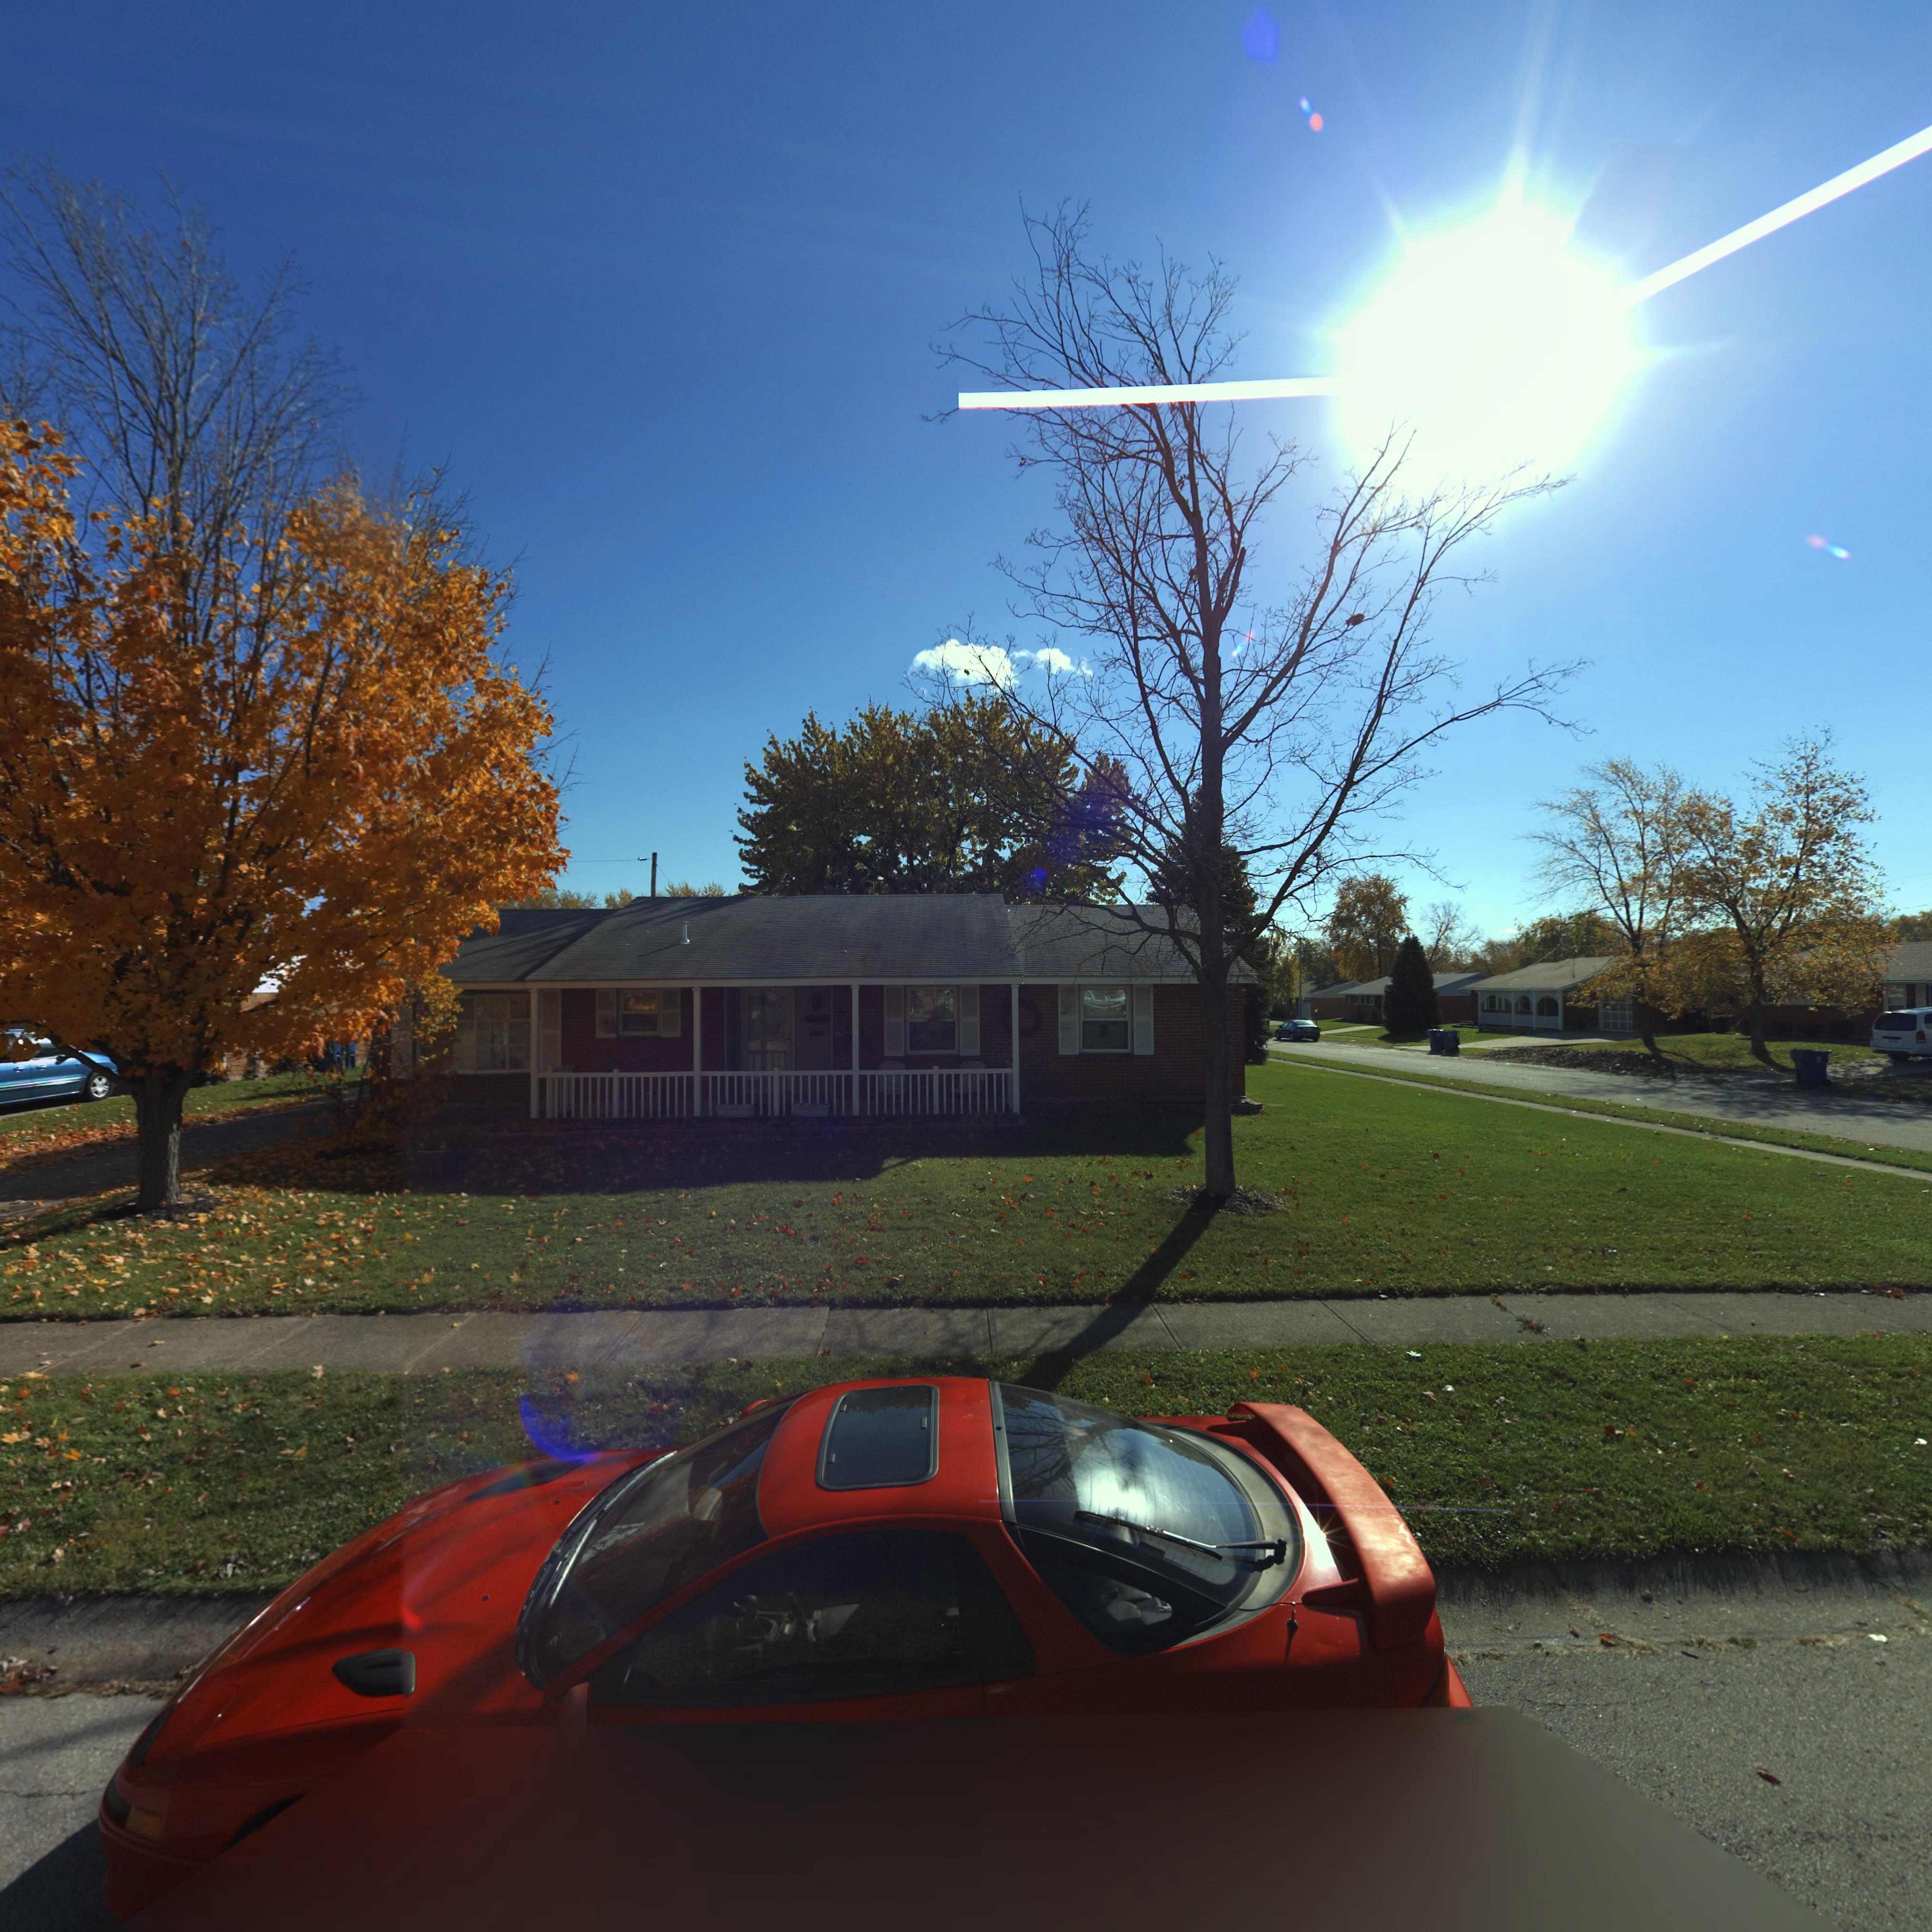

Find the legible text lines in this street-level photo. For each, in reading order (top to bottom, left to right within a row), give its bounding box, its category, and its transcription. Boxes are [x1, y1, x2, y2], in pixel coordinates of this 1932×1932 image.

[837, 1008, 876, 1052] StreetNumber: 7**0